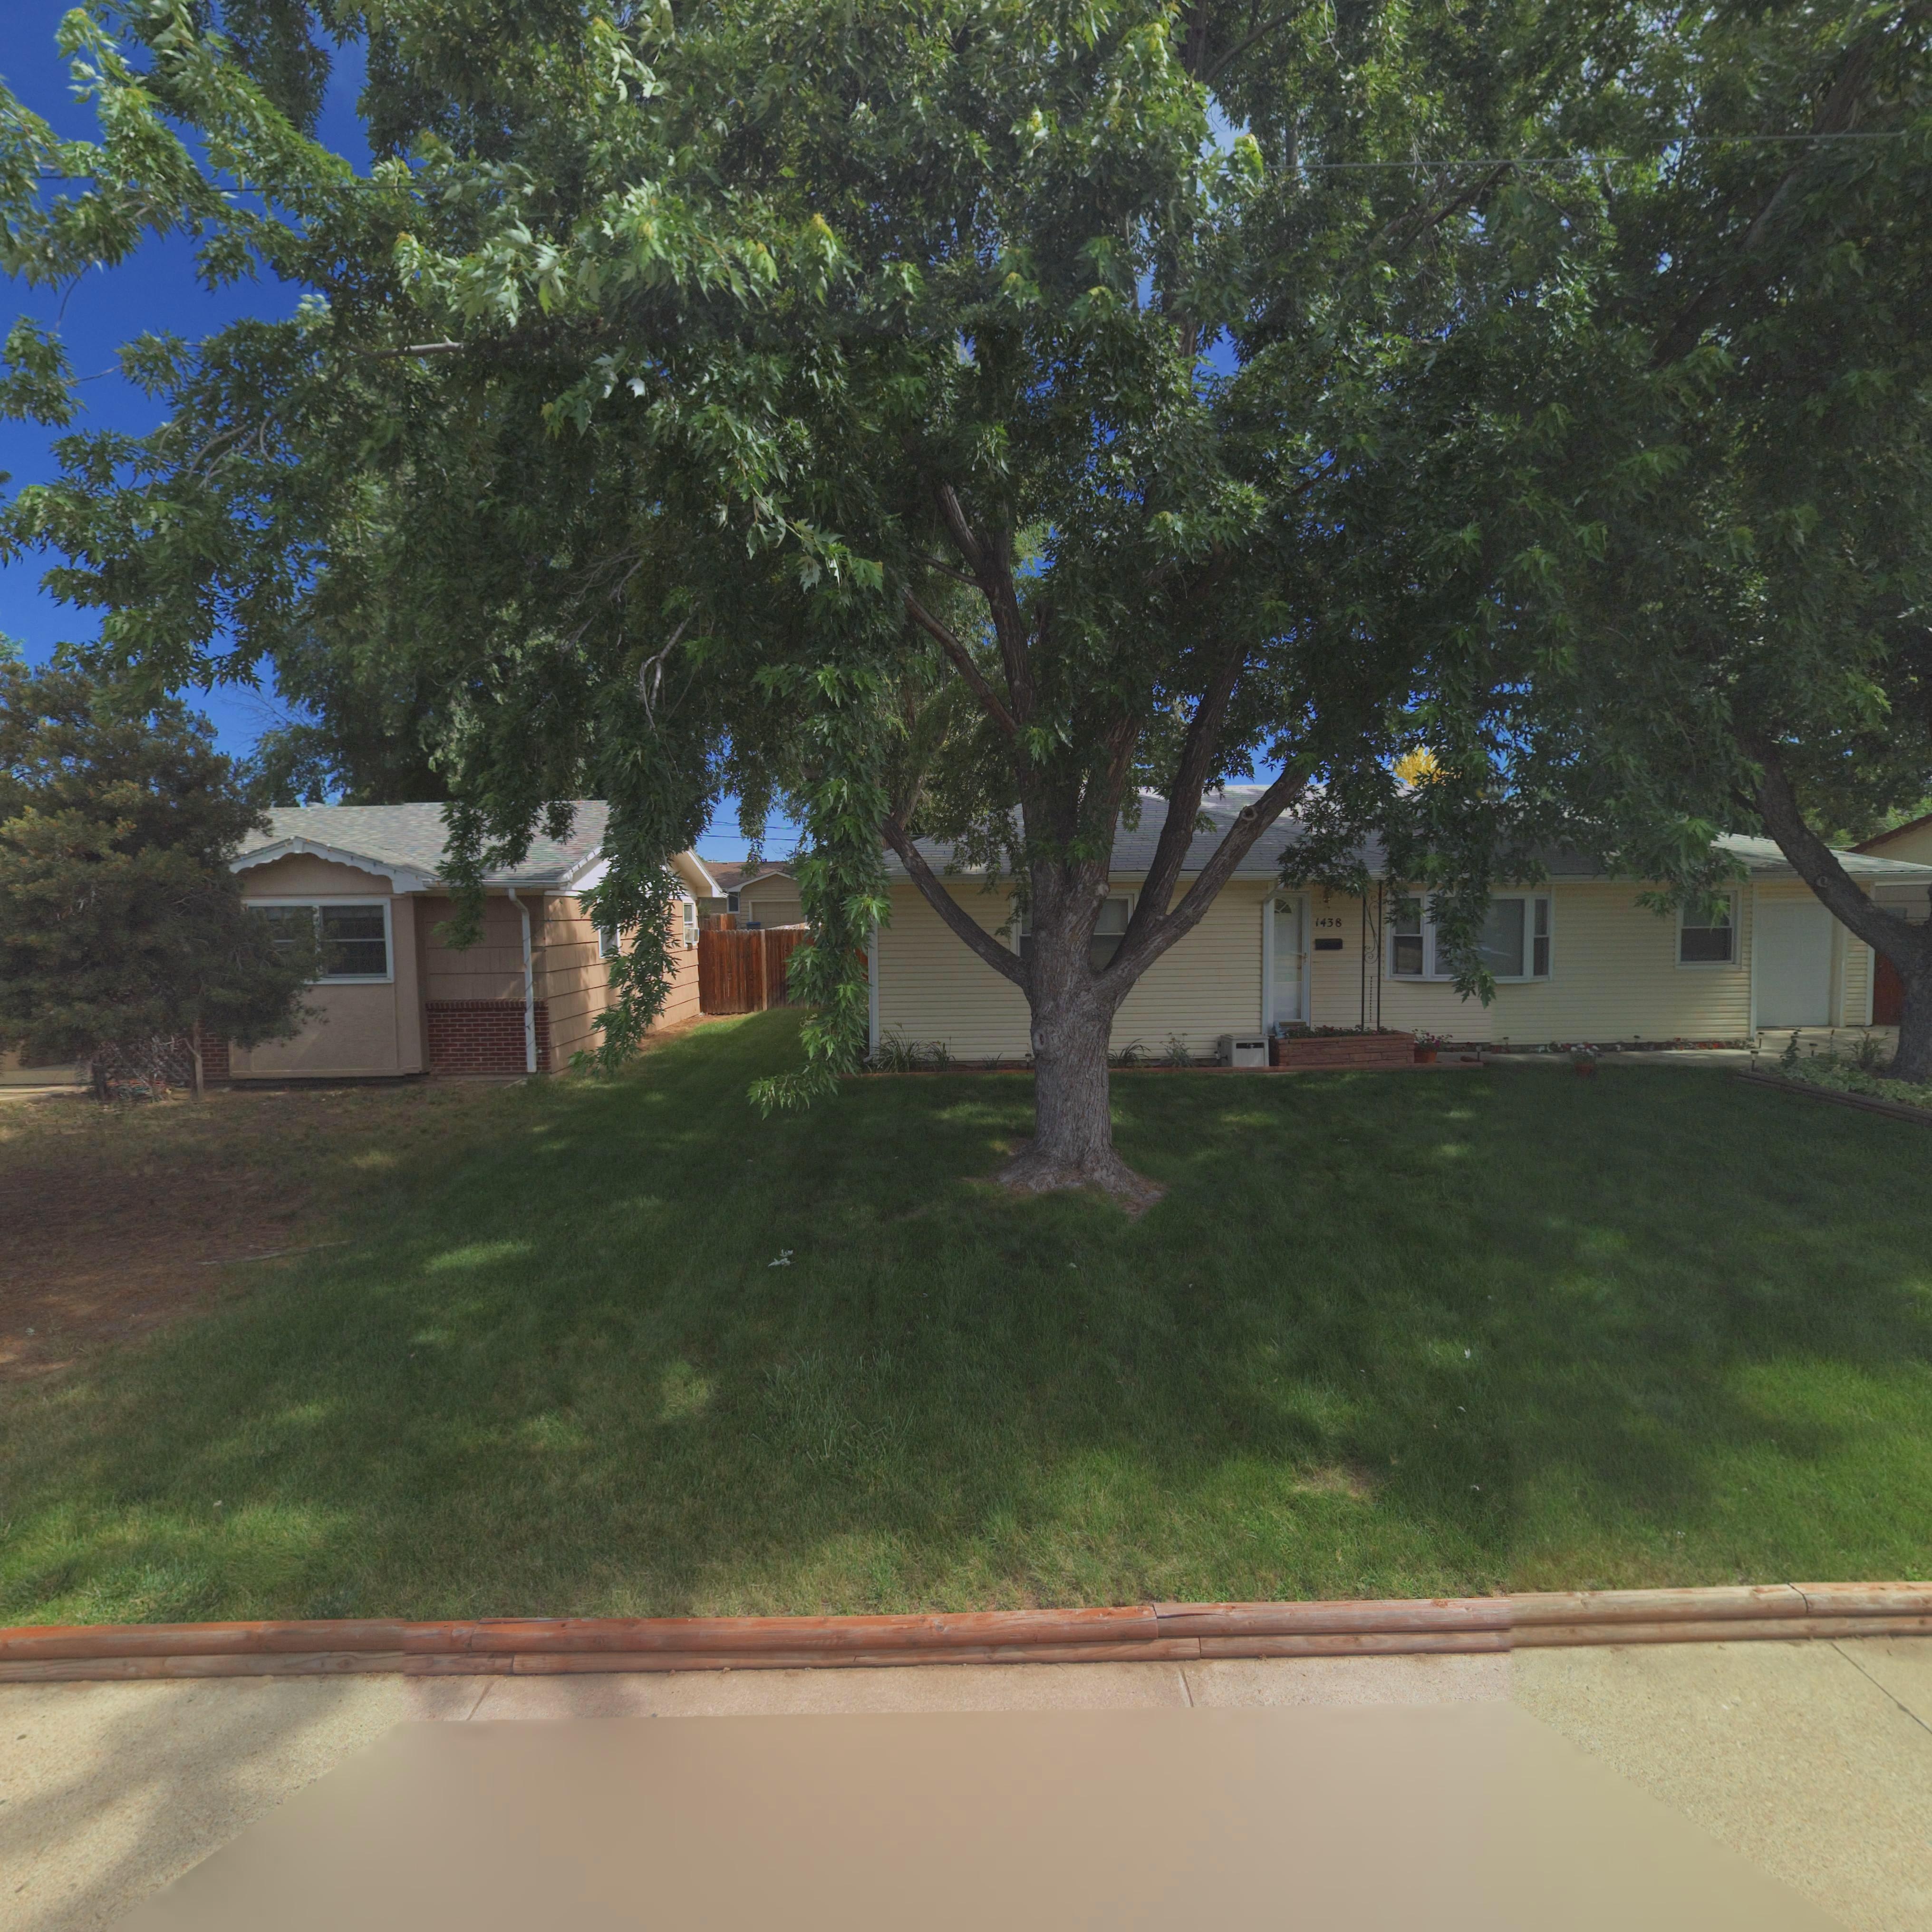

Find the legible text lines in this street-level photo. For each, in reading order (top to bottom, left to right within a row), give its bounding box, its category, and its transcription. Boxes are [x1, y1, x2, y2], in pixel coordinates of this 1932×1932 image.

[1315, 918, 1341, 927] StreetNumber: 1438